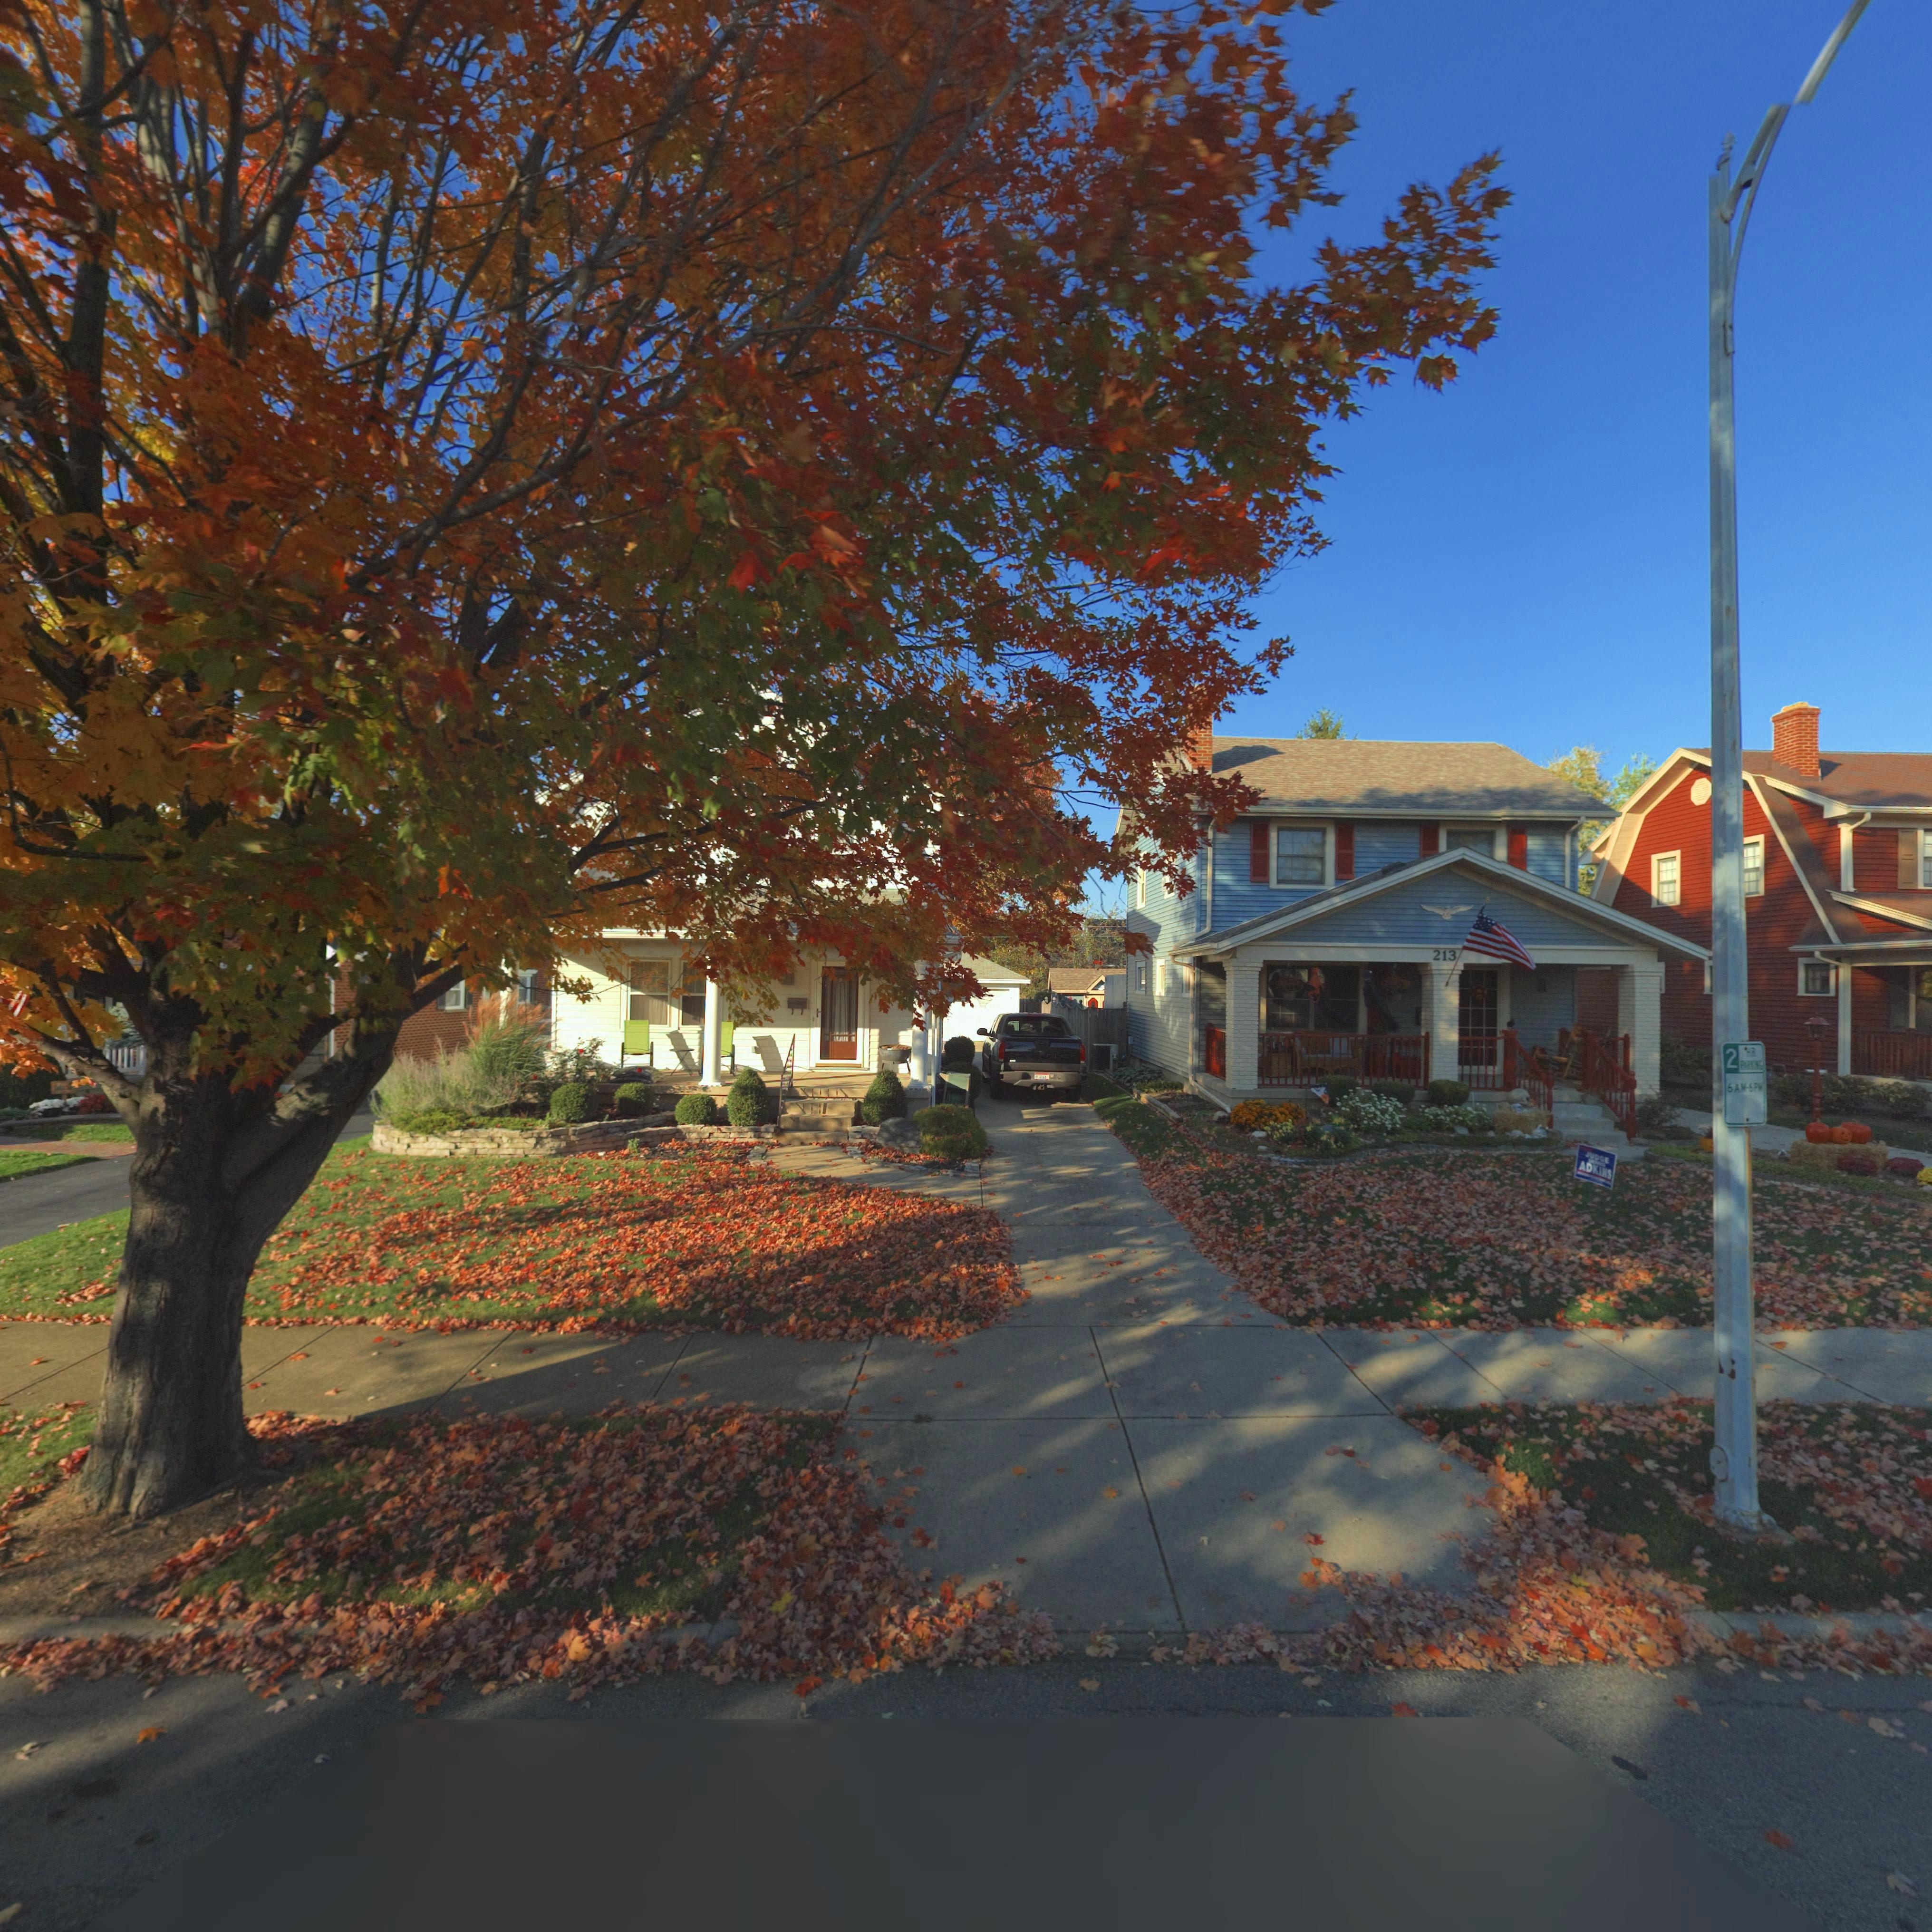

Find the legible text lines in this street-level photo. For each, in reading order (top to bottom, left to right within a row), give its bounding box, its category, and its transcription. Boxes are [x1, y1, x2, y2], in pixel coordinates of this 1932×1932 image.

[1432, 949, 1456, 961] StreetNumber: 213